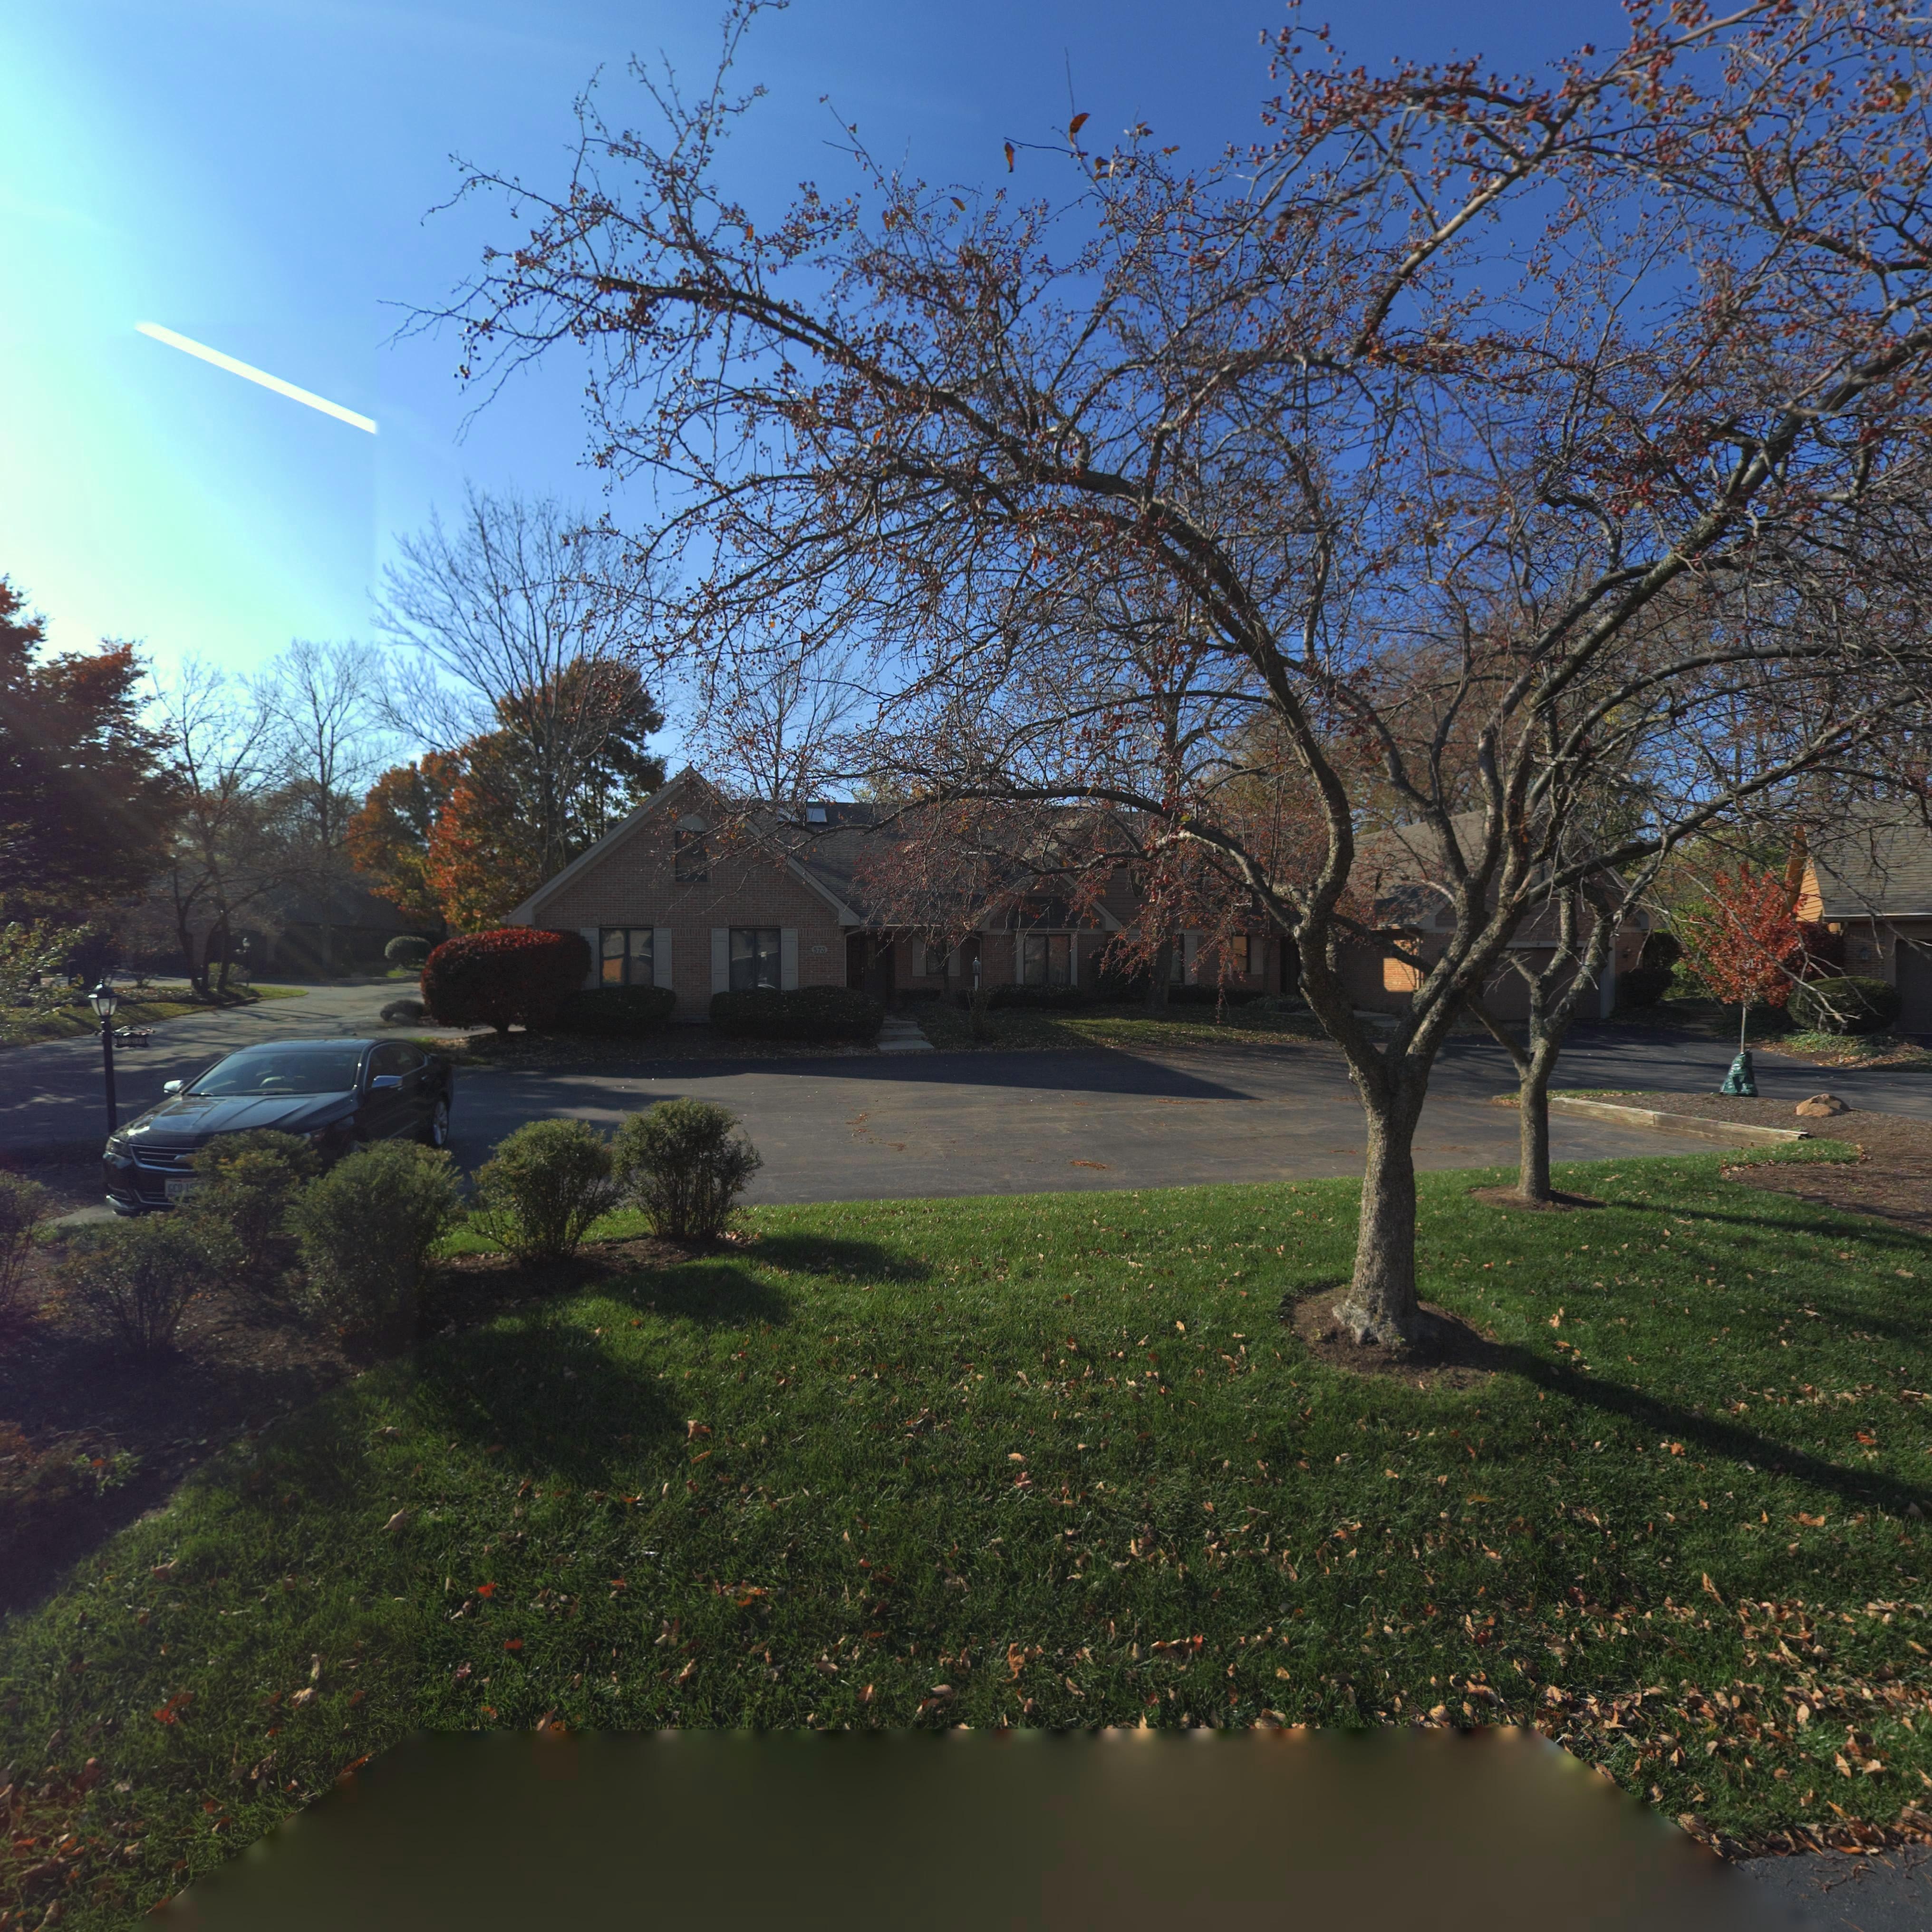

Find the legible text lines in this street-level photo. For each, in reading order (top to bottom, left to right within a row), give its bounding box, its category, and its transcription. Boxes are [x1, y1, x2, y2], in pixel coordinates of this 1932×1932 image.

[813, 947, 825, 953] StreetNumber: 573
[118, 1038, 130, 1043] StreetNumber: 573
[132, 1038, 145, 1043] StreetNumber: 590